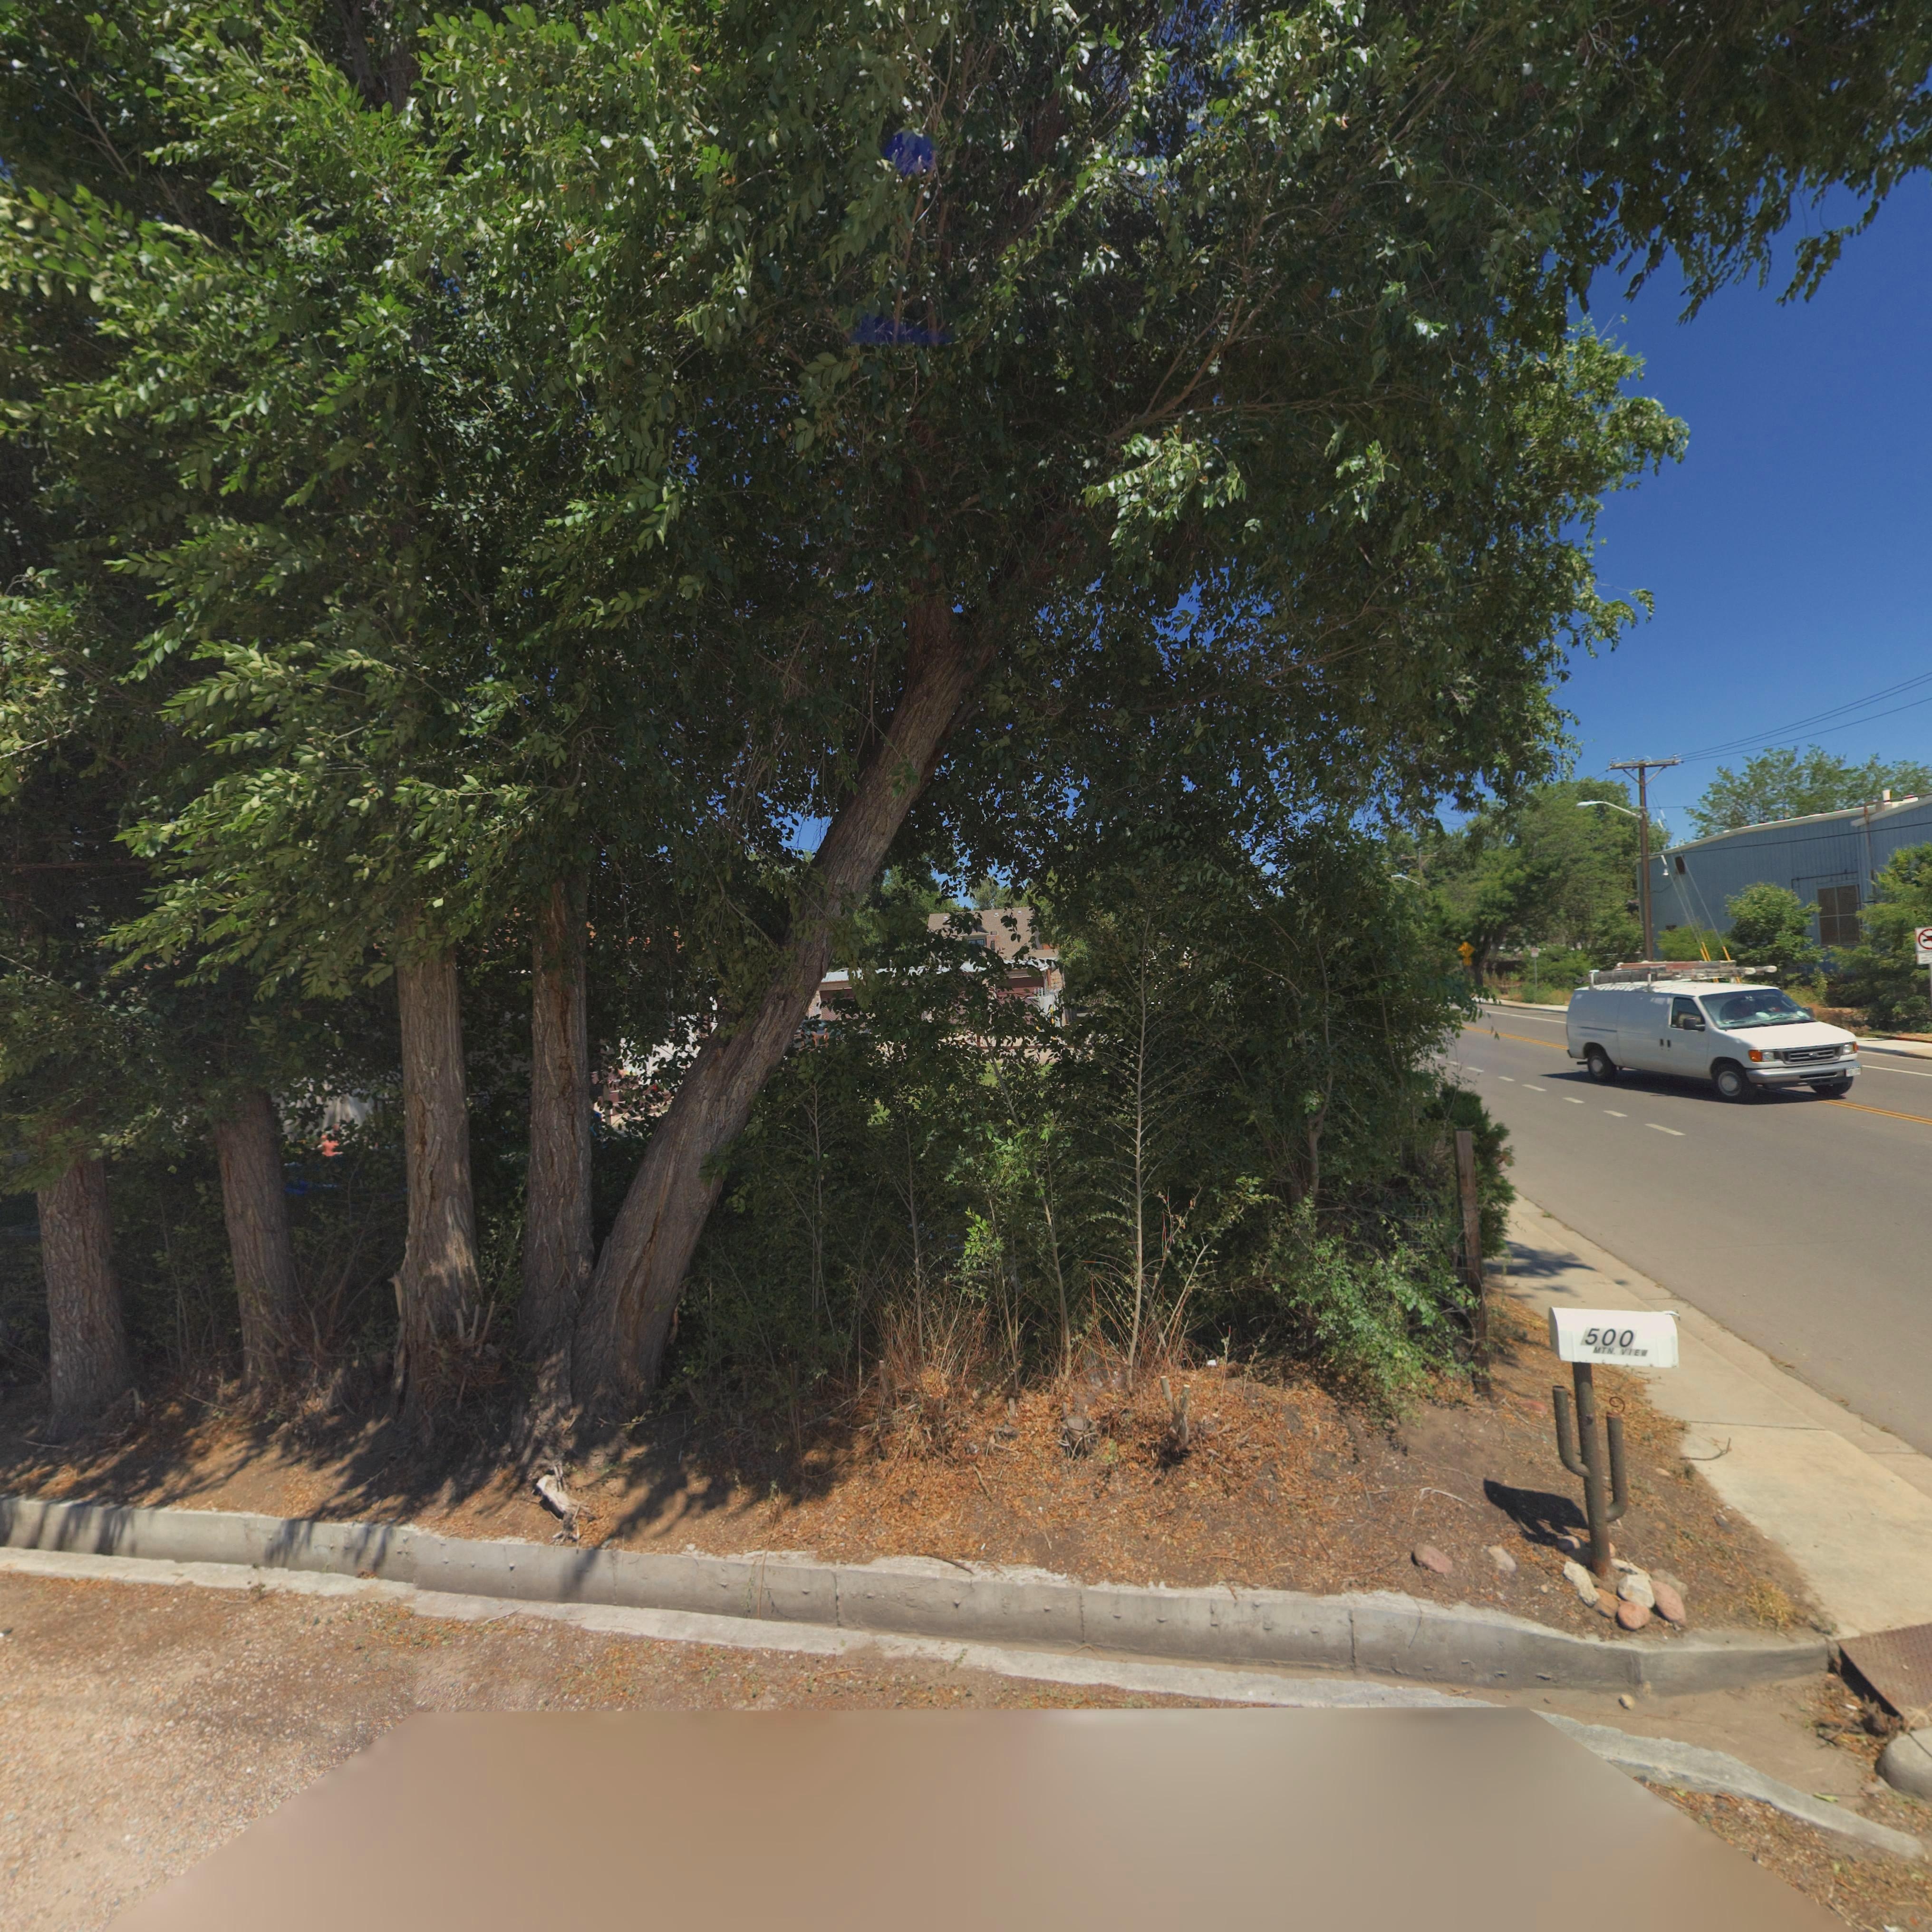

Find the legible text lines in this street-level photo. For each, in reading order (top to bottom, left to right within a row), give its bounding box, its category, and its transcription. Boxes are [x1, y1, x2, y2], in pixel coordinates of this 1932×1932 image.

[1584, 1327, 1634, 1347] StreetNumber: 500
[1592, 1346, 1649, 1356] StreetName: MTN. VIEW